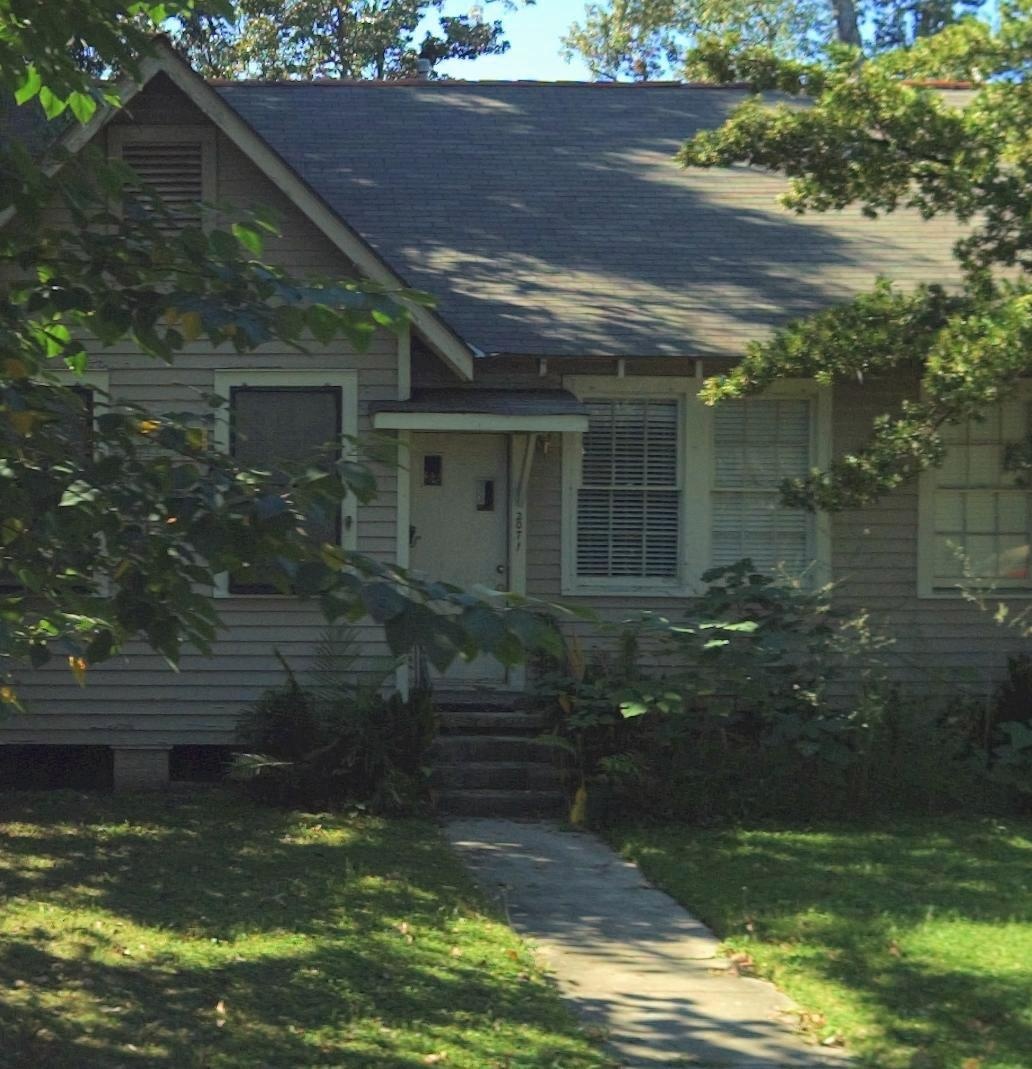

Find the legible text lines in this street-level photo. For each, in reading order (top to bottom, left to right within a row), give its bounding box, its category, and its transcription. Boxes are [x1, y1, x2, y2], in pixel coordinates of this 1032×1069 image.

[513, 509, 524, 554] StreetNumber: 2071